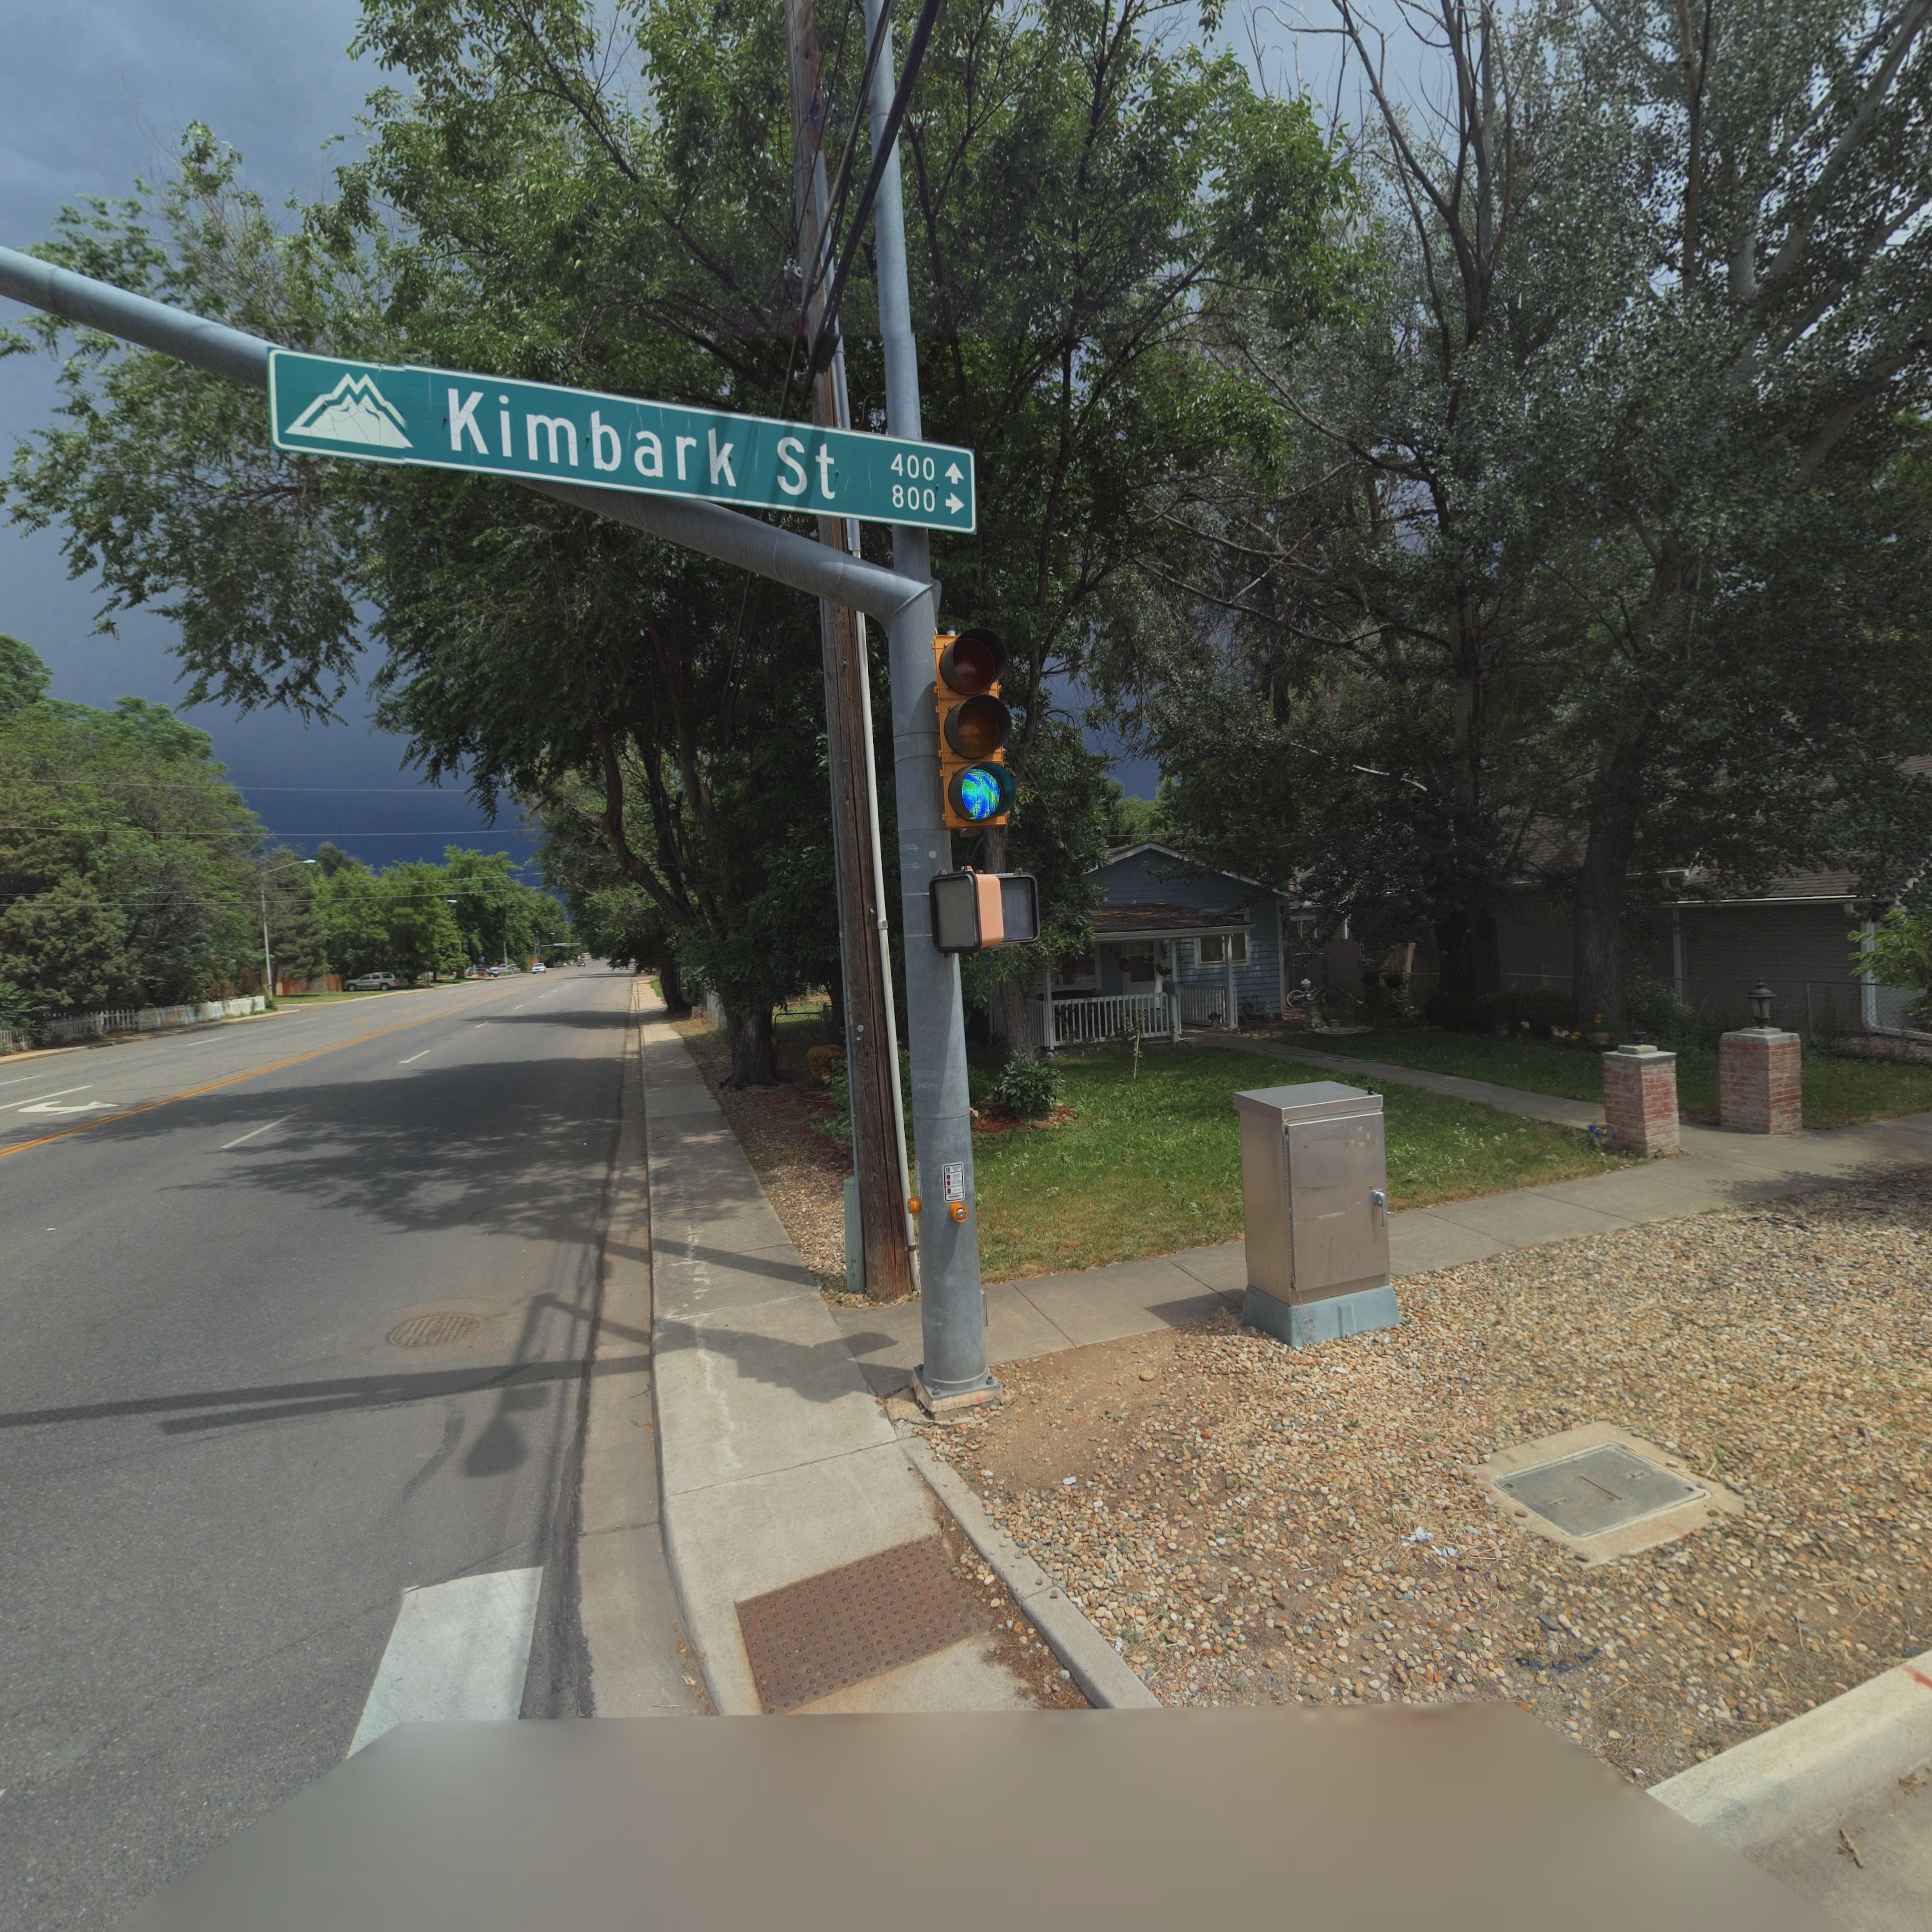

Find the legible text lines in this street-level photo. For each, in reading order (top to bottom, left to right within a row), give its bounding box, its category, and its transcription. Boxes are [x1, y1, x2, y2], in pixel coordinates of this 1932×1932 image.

[447, 386, 835, 500] StreetName: Kimbark St
[889, 453, 935, 481] StreetNumberRange: 400
[891, 483, 965, 515] StreetNumberRange: 800->
[1100, 943, 1120, 959] StreetNumber: *30